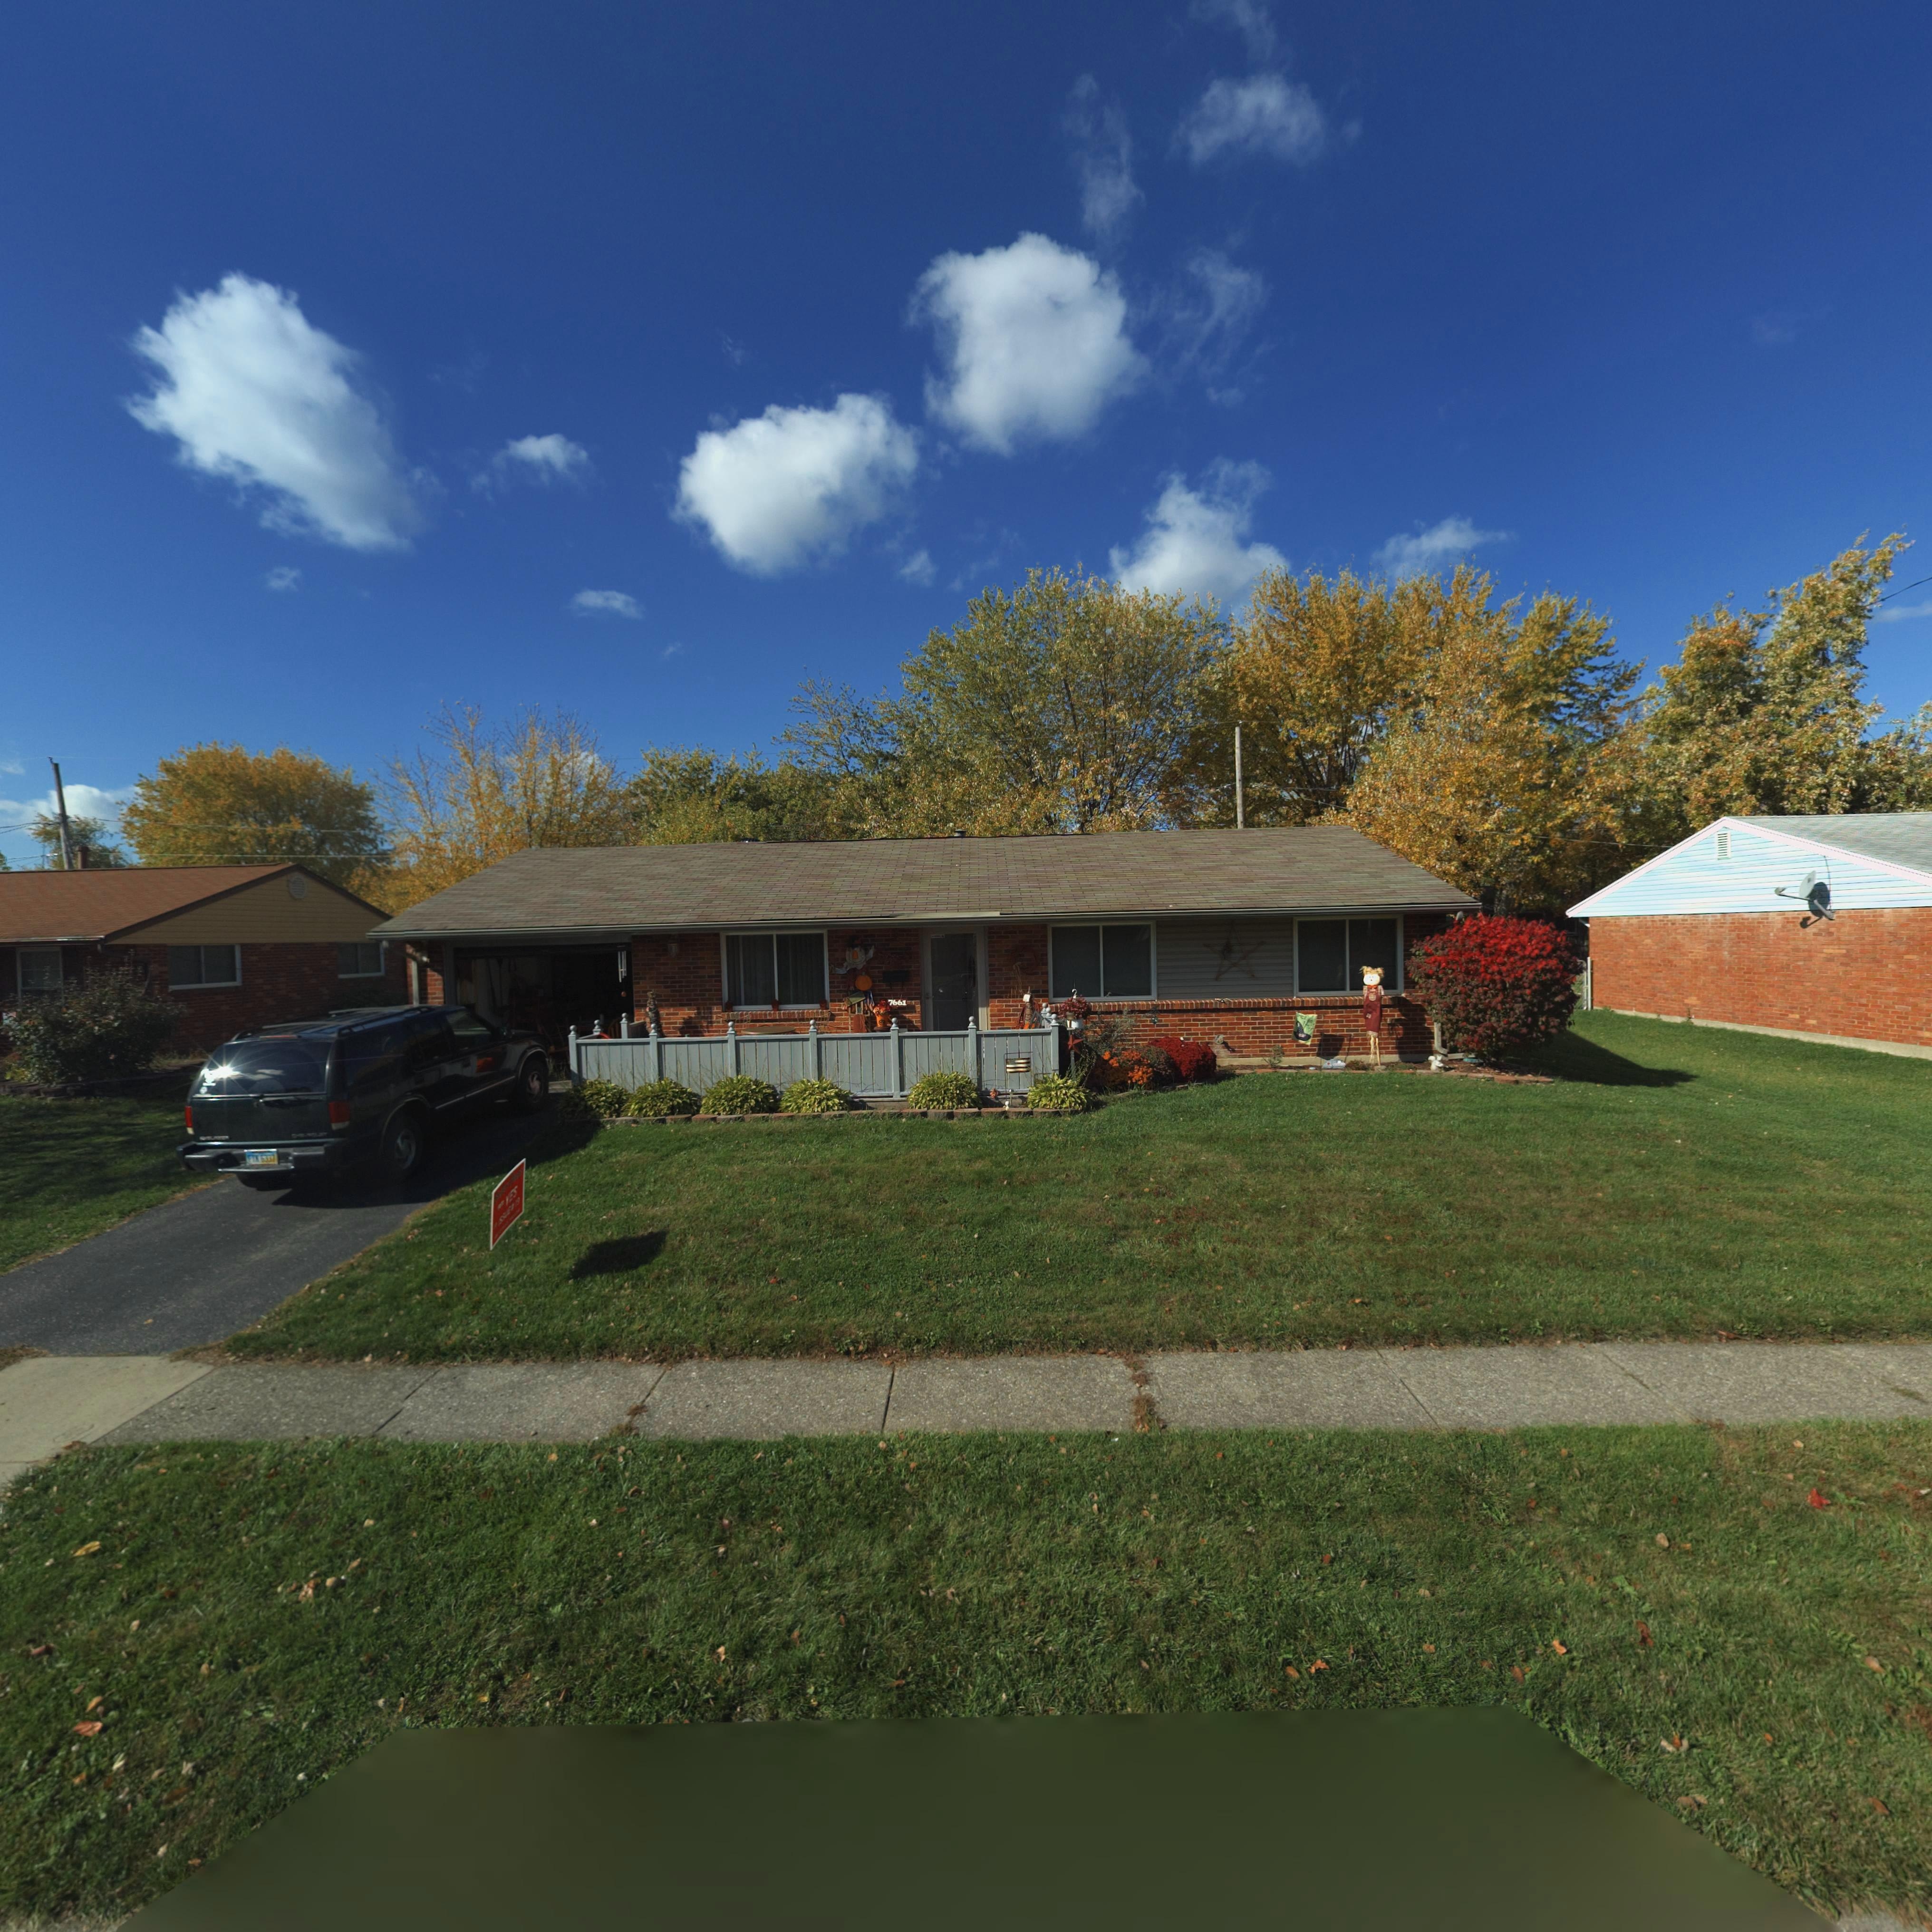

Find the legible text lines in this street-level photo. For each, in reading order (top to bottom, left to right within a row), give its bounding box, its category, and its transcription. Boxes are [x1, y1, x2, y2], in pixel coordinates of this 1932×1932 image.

[887, 998, 908, 1007] StreetNumber: 7661